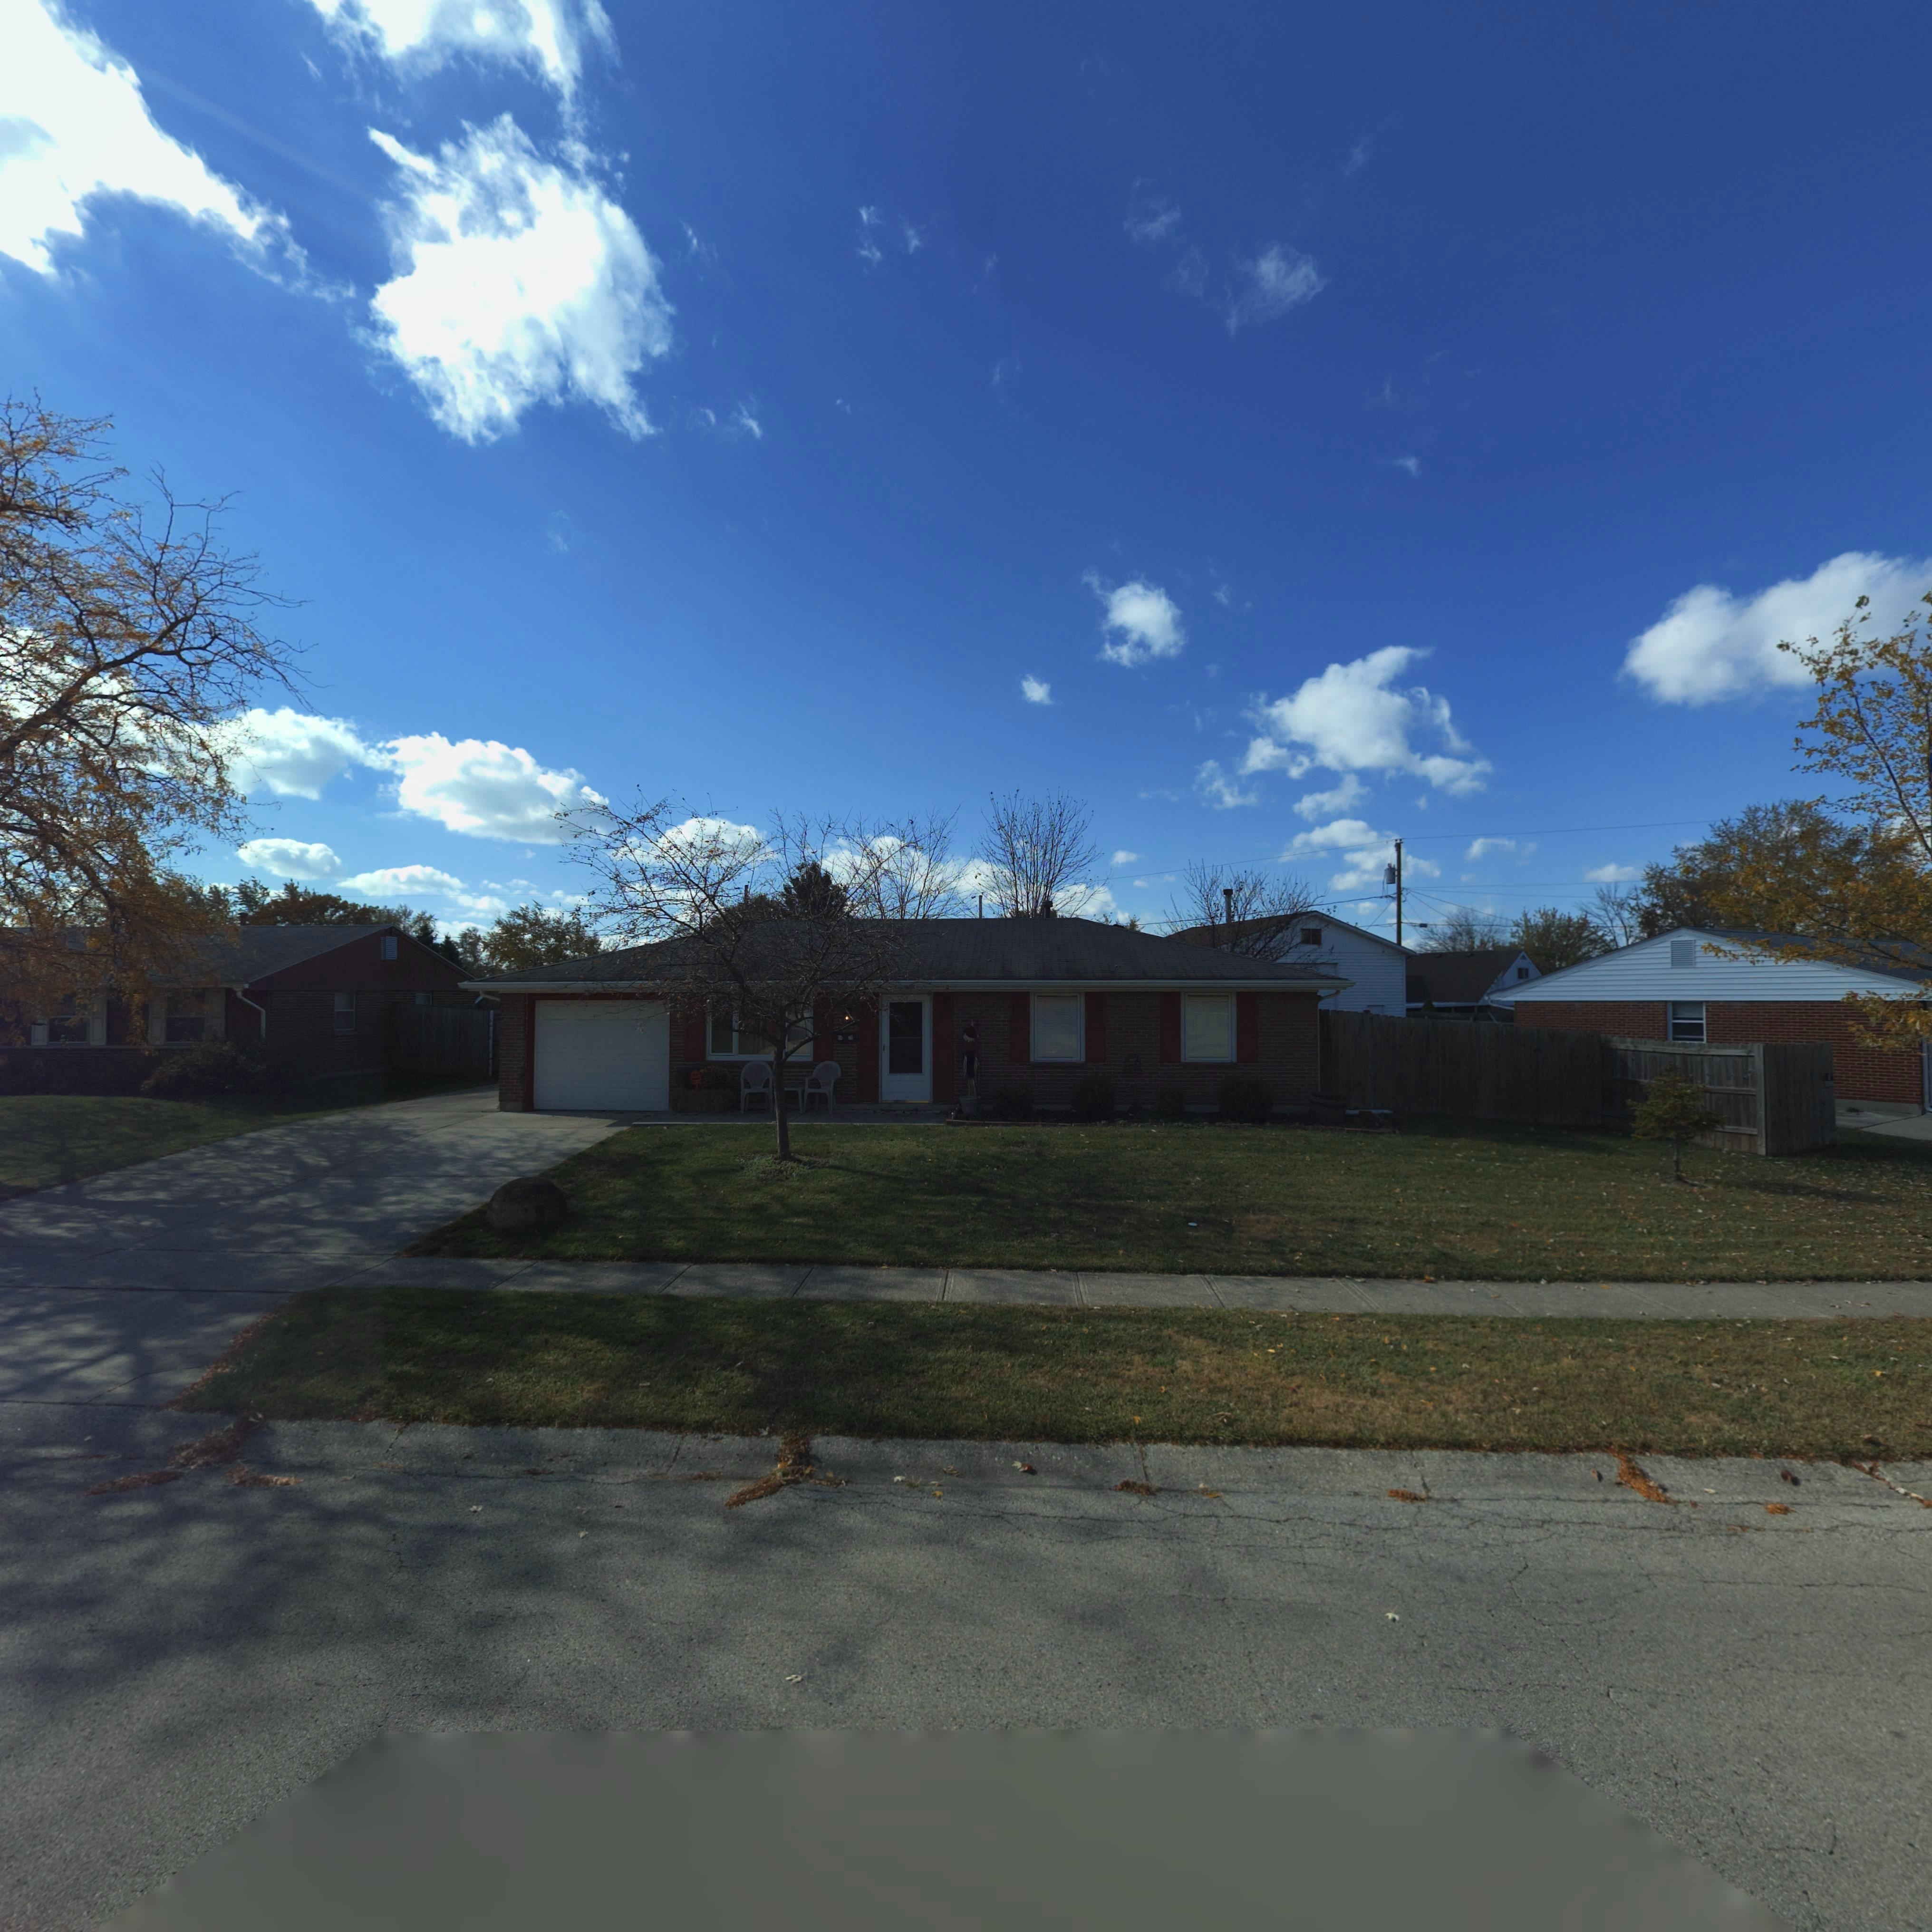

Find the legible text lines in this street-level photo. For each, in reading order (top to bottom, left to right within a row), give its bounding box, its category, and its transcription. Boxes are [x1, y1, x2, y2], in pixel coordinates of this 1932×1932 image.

[838, 1035, 843, 1040] StreetNumber: 64